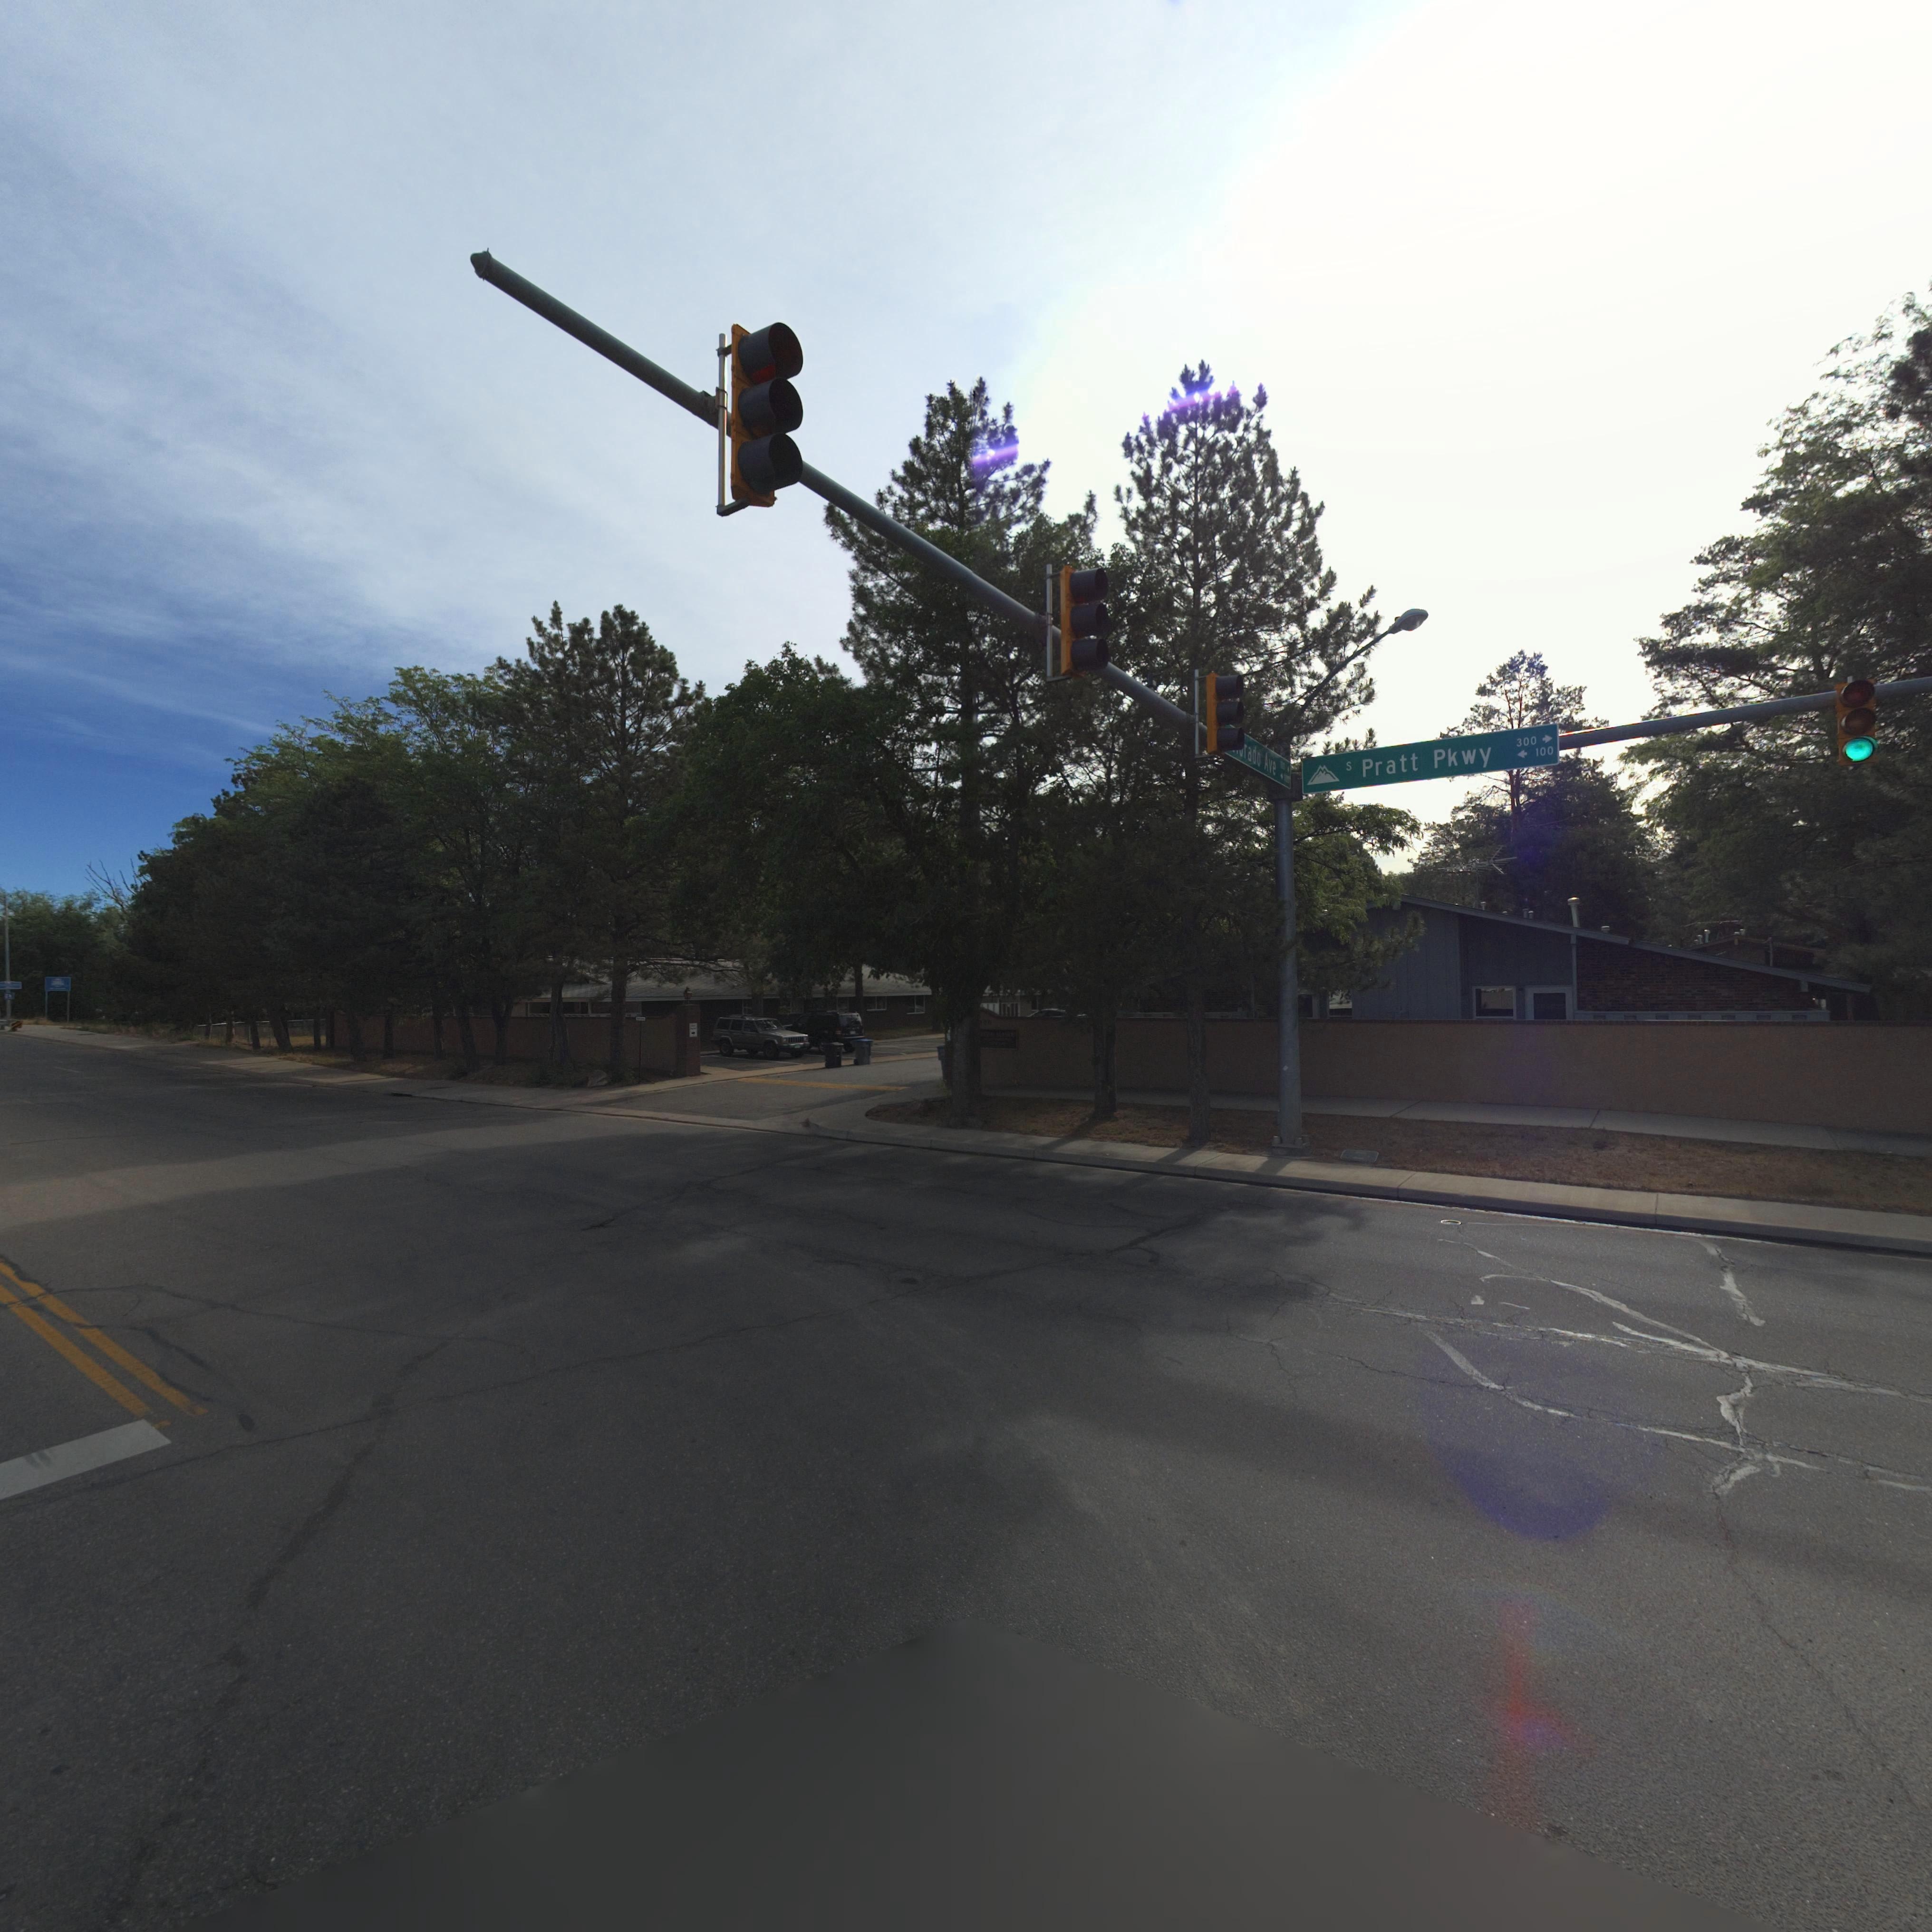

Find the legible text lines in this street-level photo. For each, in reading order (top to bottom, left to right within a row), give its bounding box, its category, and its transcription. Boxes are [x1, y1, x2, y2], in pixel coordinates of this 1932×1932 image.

[1244, 744, 1276, 776] StreetName: rado Ave
[1345, 746, 1492, 777] StreetName: s Pratt Pkwy
[1516, 734, 1553, 747] StreetNumberRange: 300->
[1517, 745, 1554, 758] StreetNumberRange: <-100